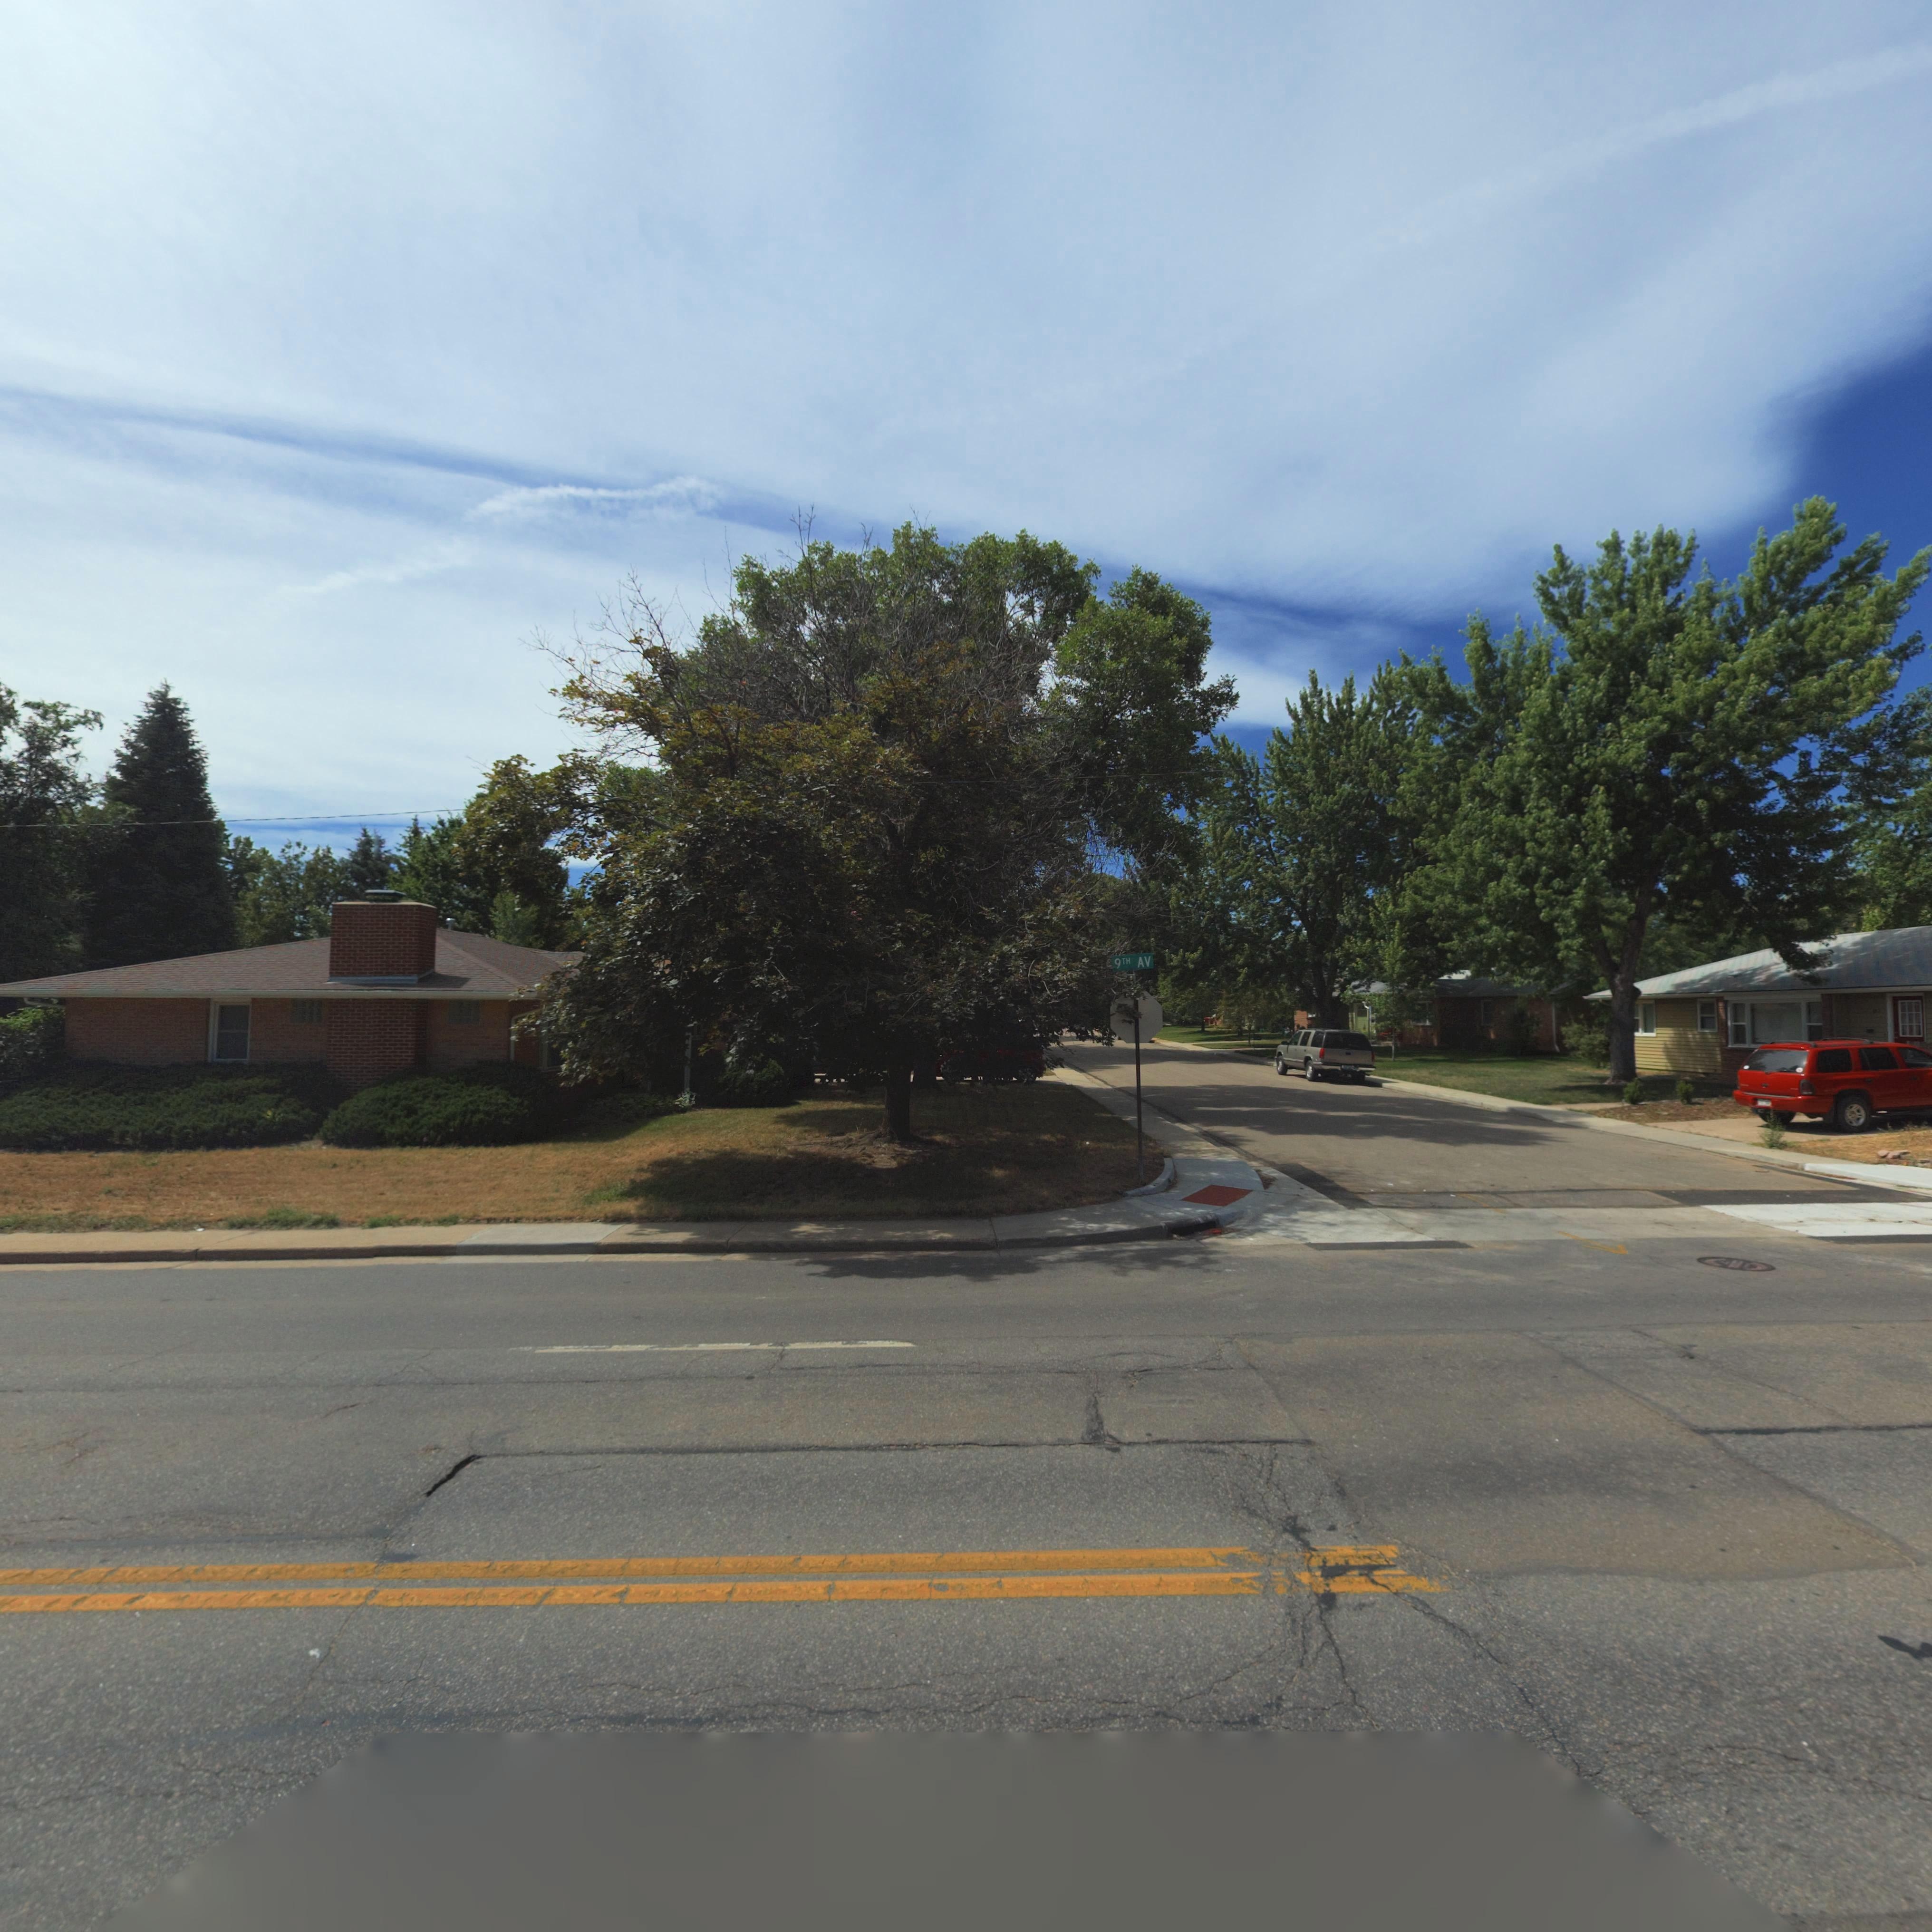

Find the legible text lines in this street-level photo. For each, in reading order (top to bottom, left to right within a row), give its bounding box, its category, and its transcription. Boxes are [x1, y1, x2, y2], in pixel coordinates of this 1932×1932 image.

[1114, 955, 1151, 969] StreetName: 9TH AV